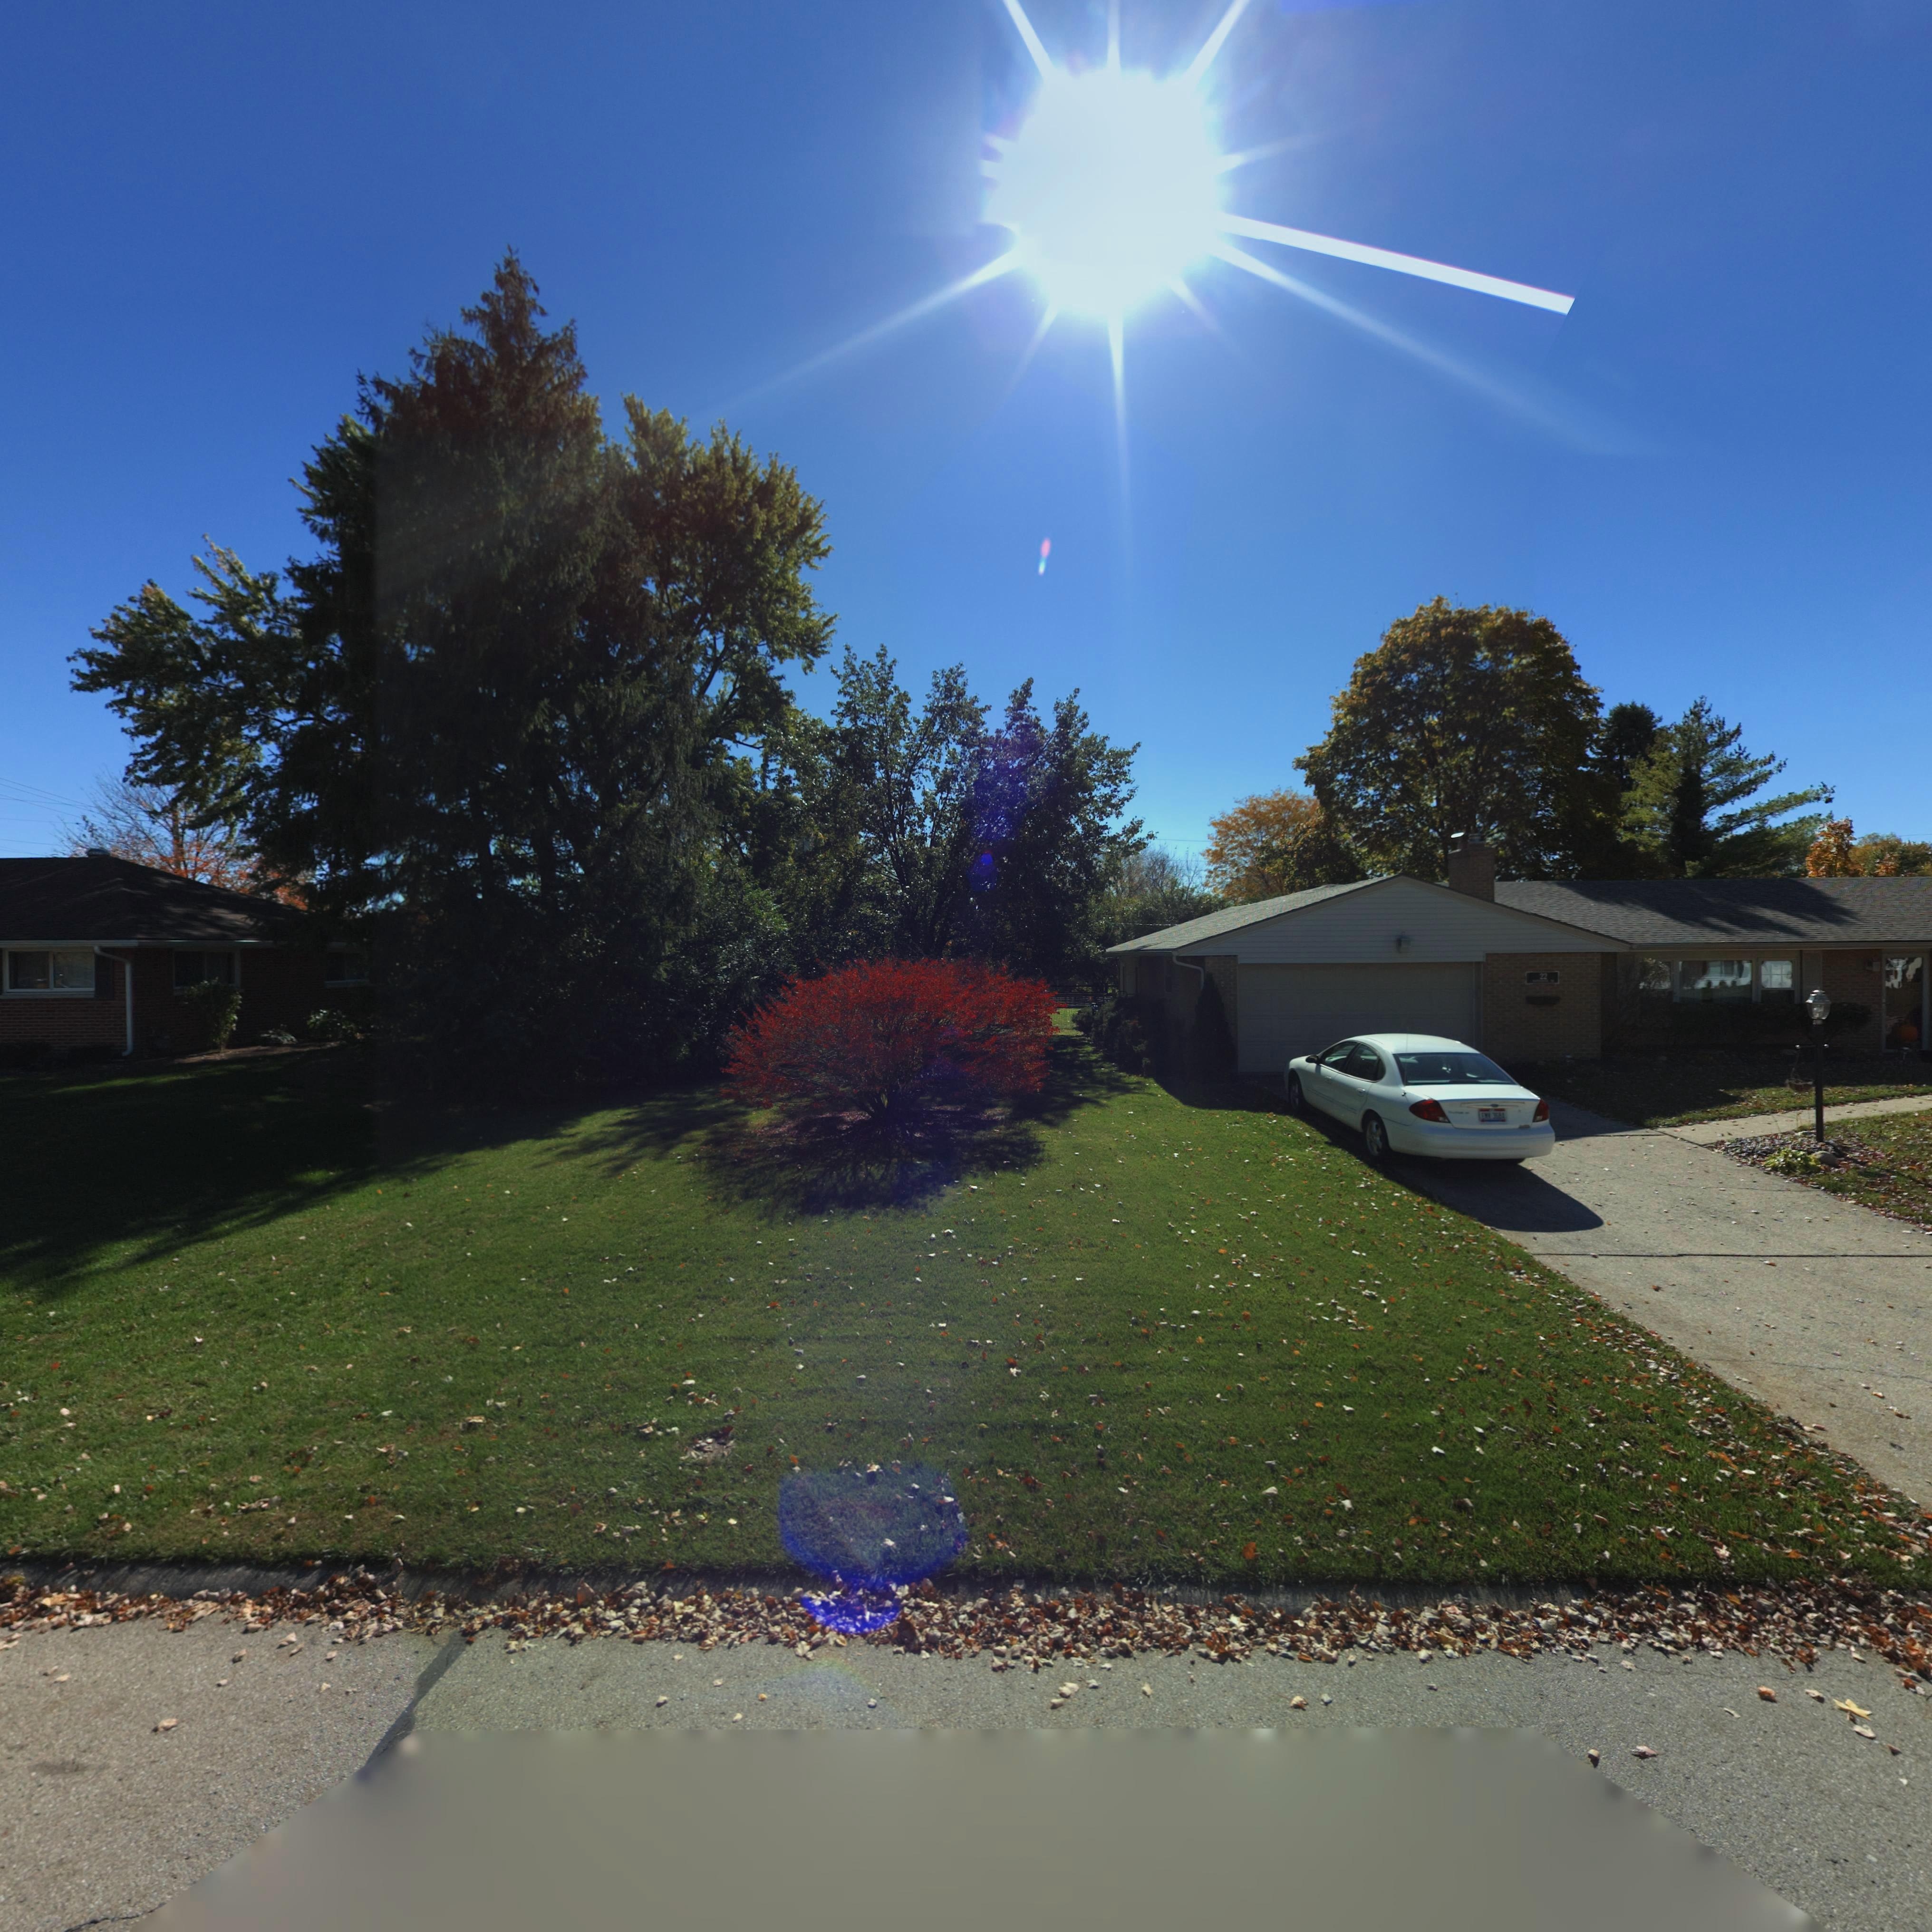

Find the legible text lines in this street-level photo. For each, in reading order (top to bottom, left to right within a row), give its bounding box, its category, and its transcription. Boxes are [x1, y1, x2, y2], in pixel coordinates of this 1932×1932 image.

[1539, 972, 1548, 980] StreetNumber: 22